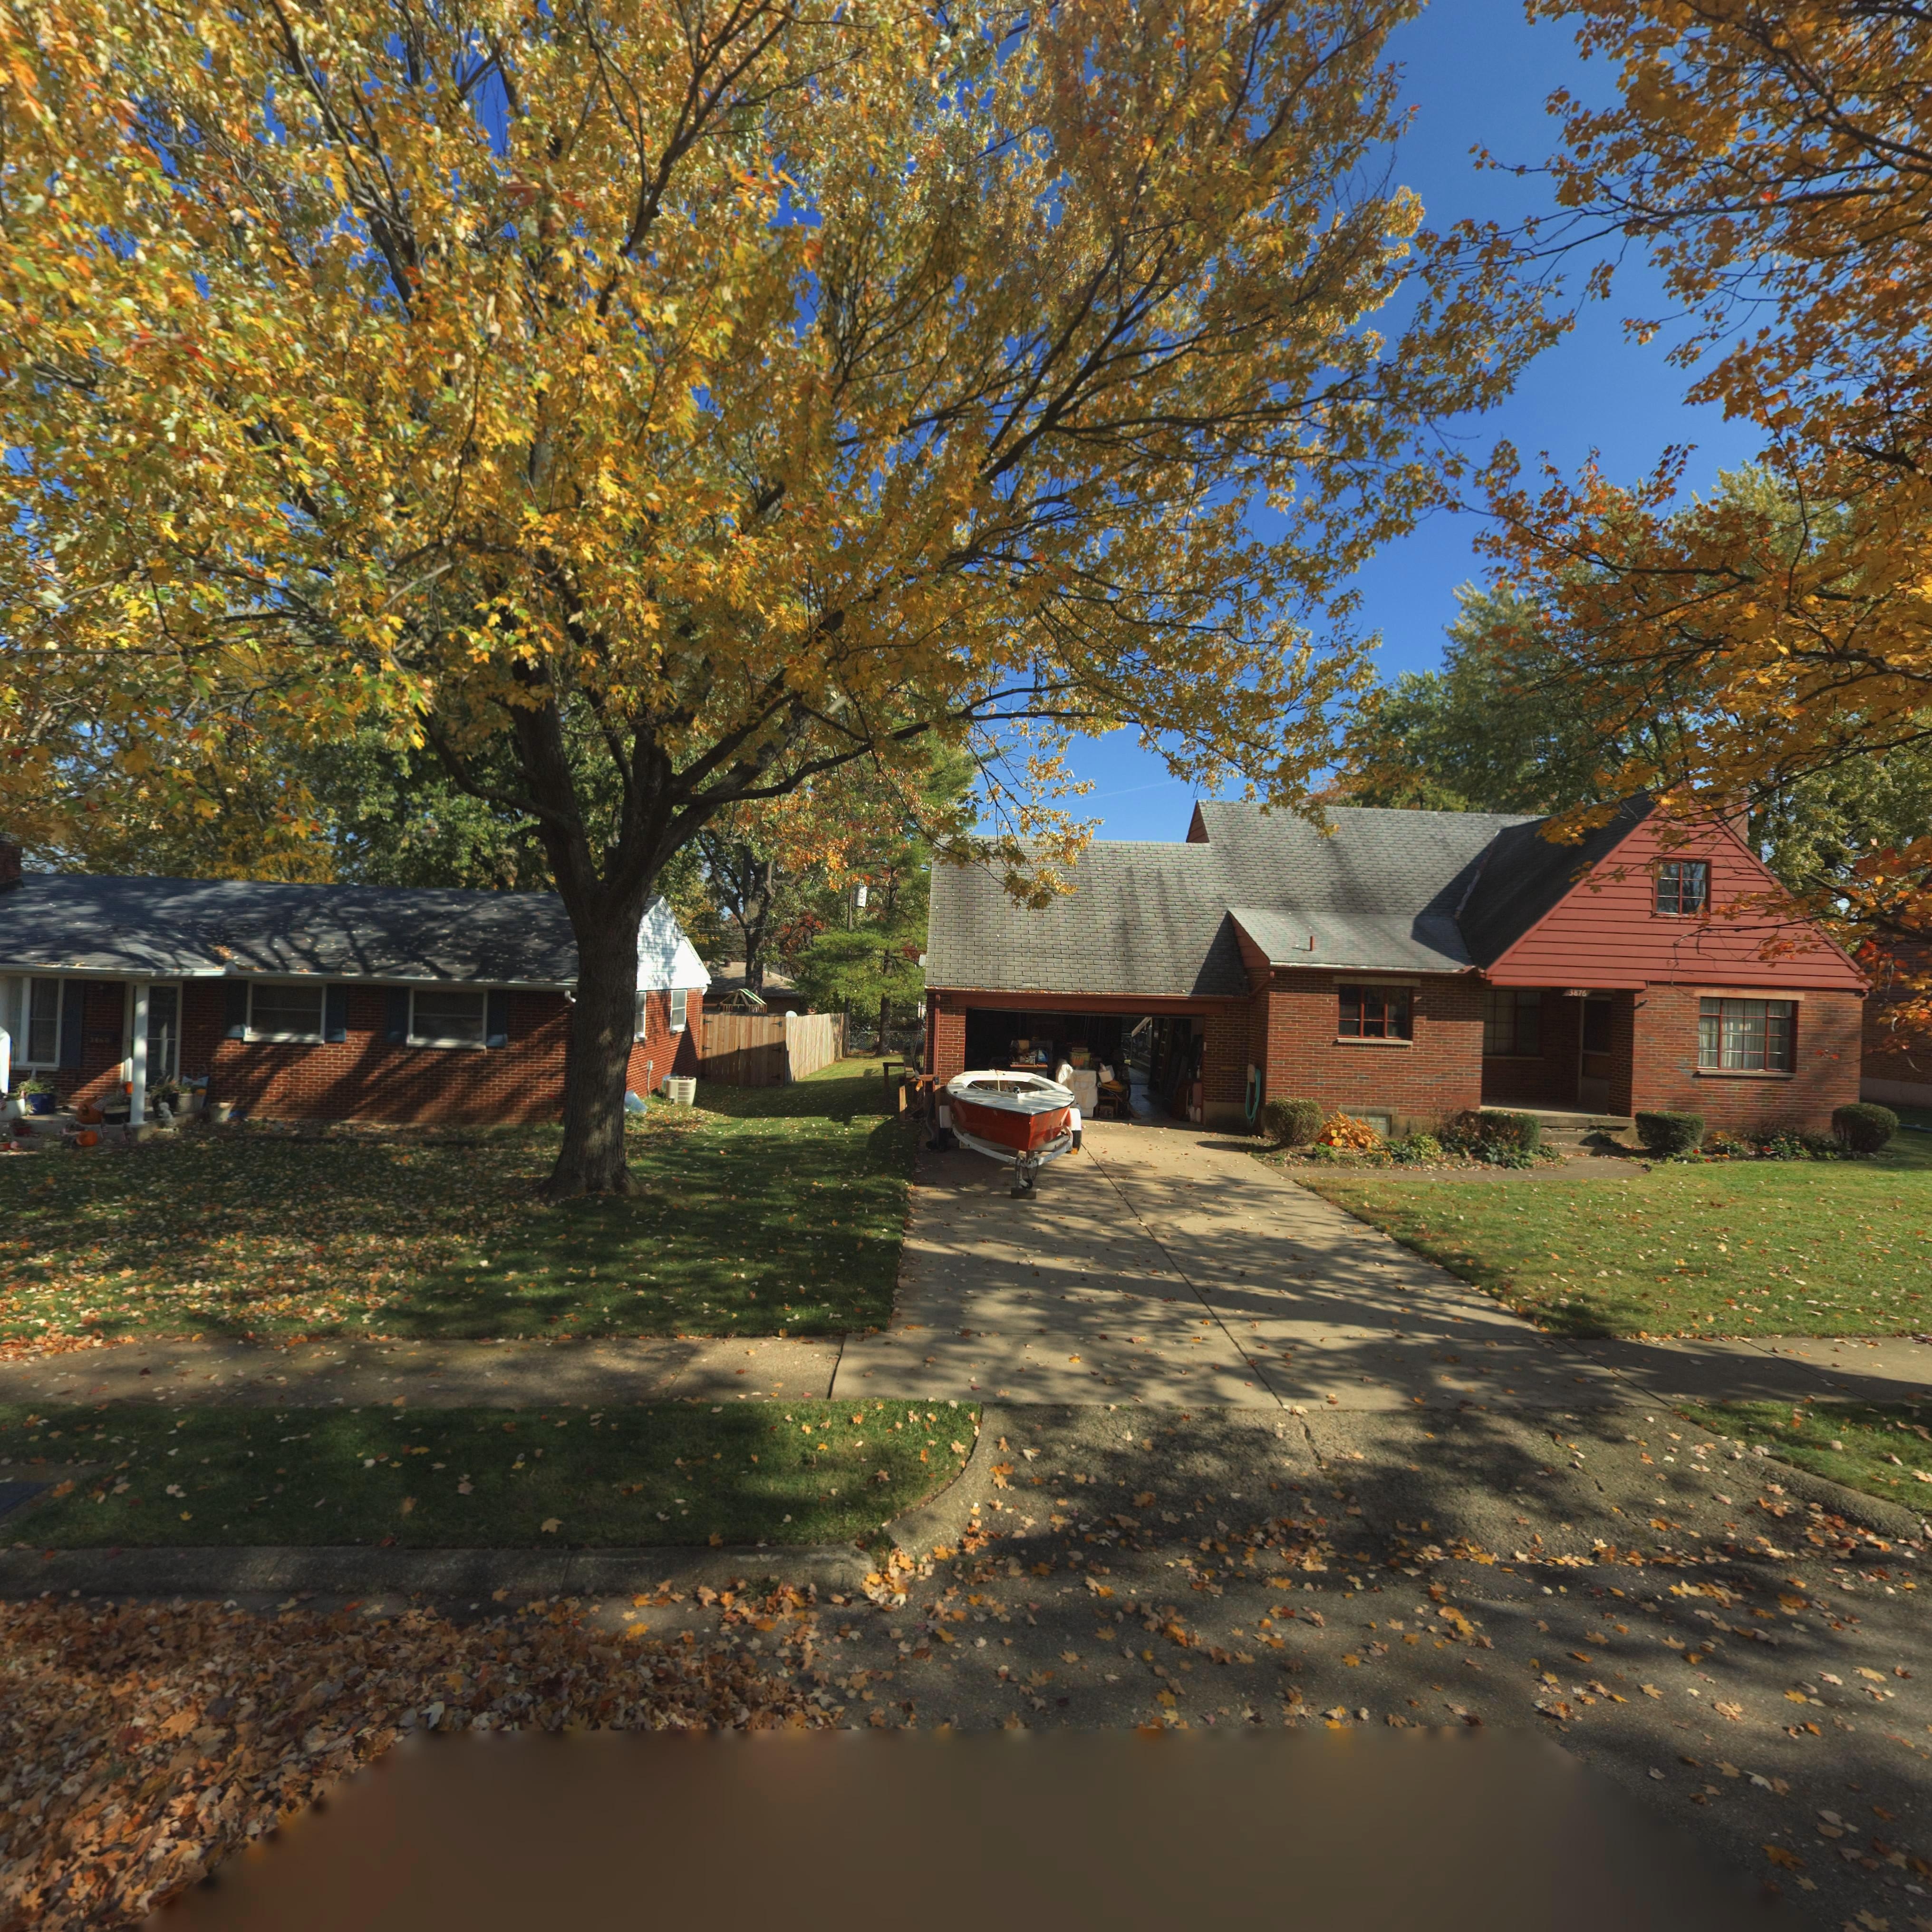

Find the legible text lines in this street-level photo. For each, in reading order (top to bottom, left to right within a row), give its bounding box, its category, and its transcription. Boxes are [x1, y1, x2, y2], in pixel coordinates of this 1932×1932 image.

[1567, 988, 1587, 997] StreetNumber: 3876